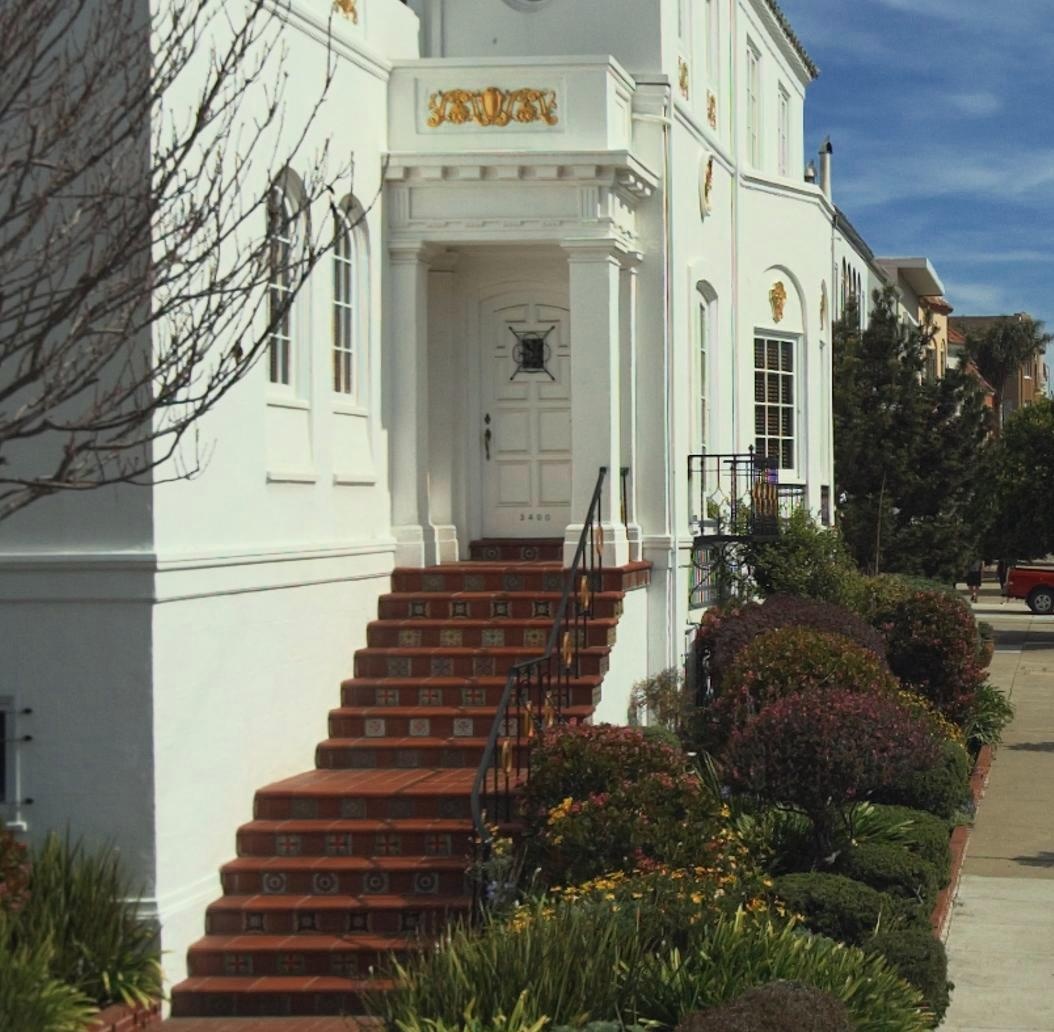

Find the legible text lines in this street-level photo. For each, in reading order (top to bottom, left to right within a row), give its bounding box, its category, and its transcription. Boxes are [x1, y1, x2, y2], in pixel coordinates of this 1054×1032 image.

[517, 511, 553, 524] StreetNumber: 3400